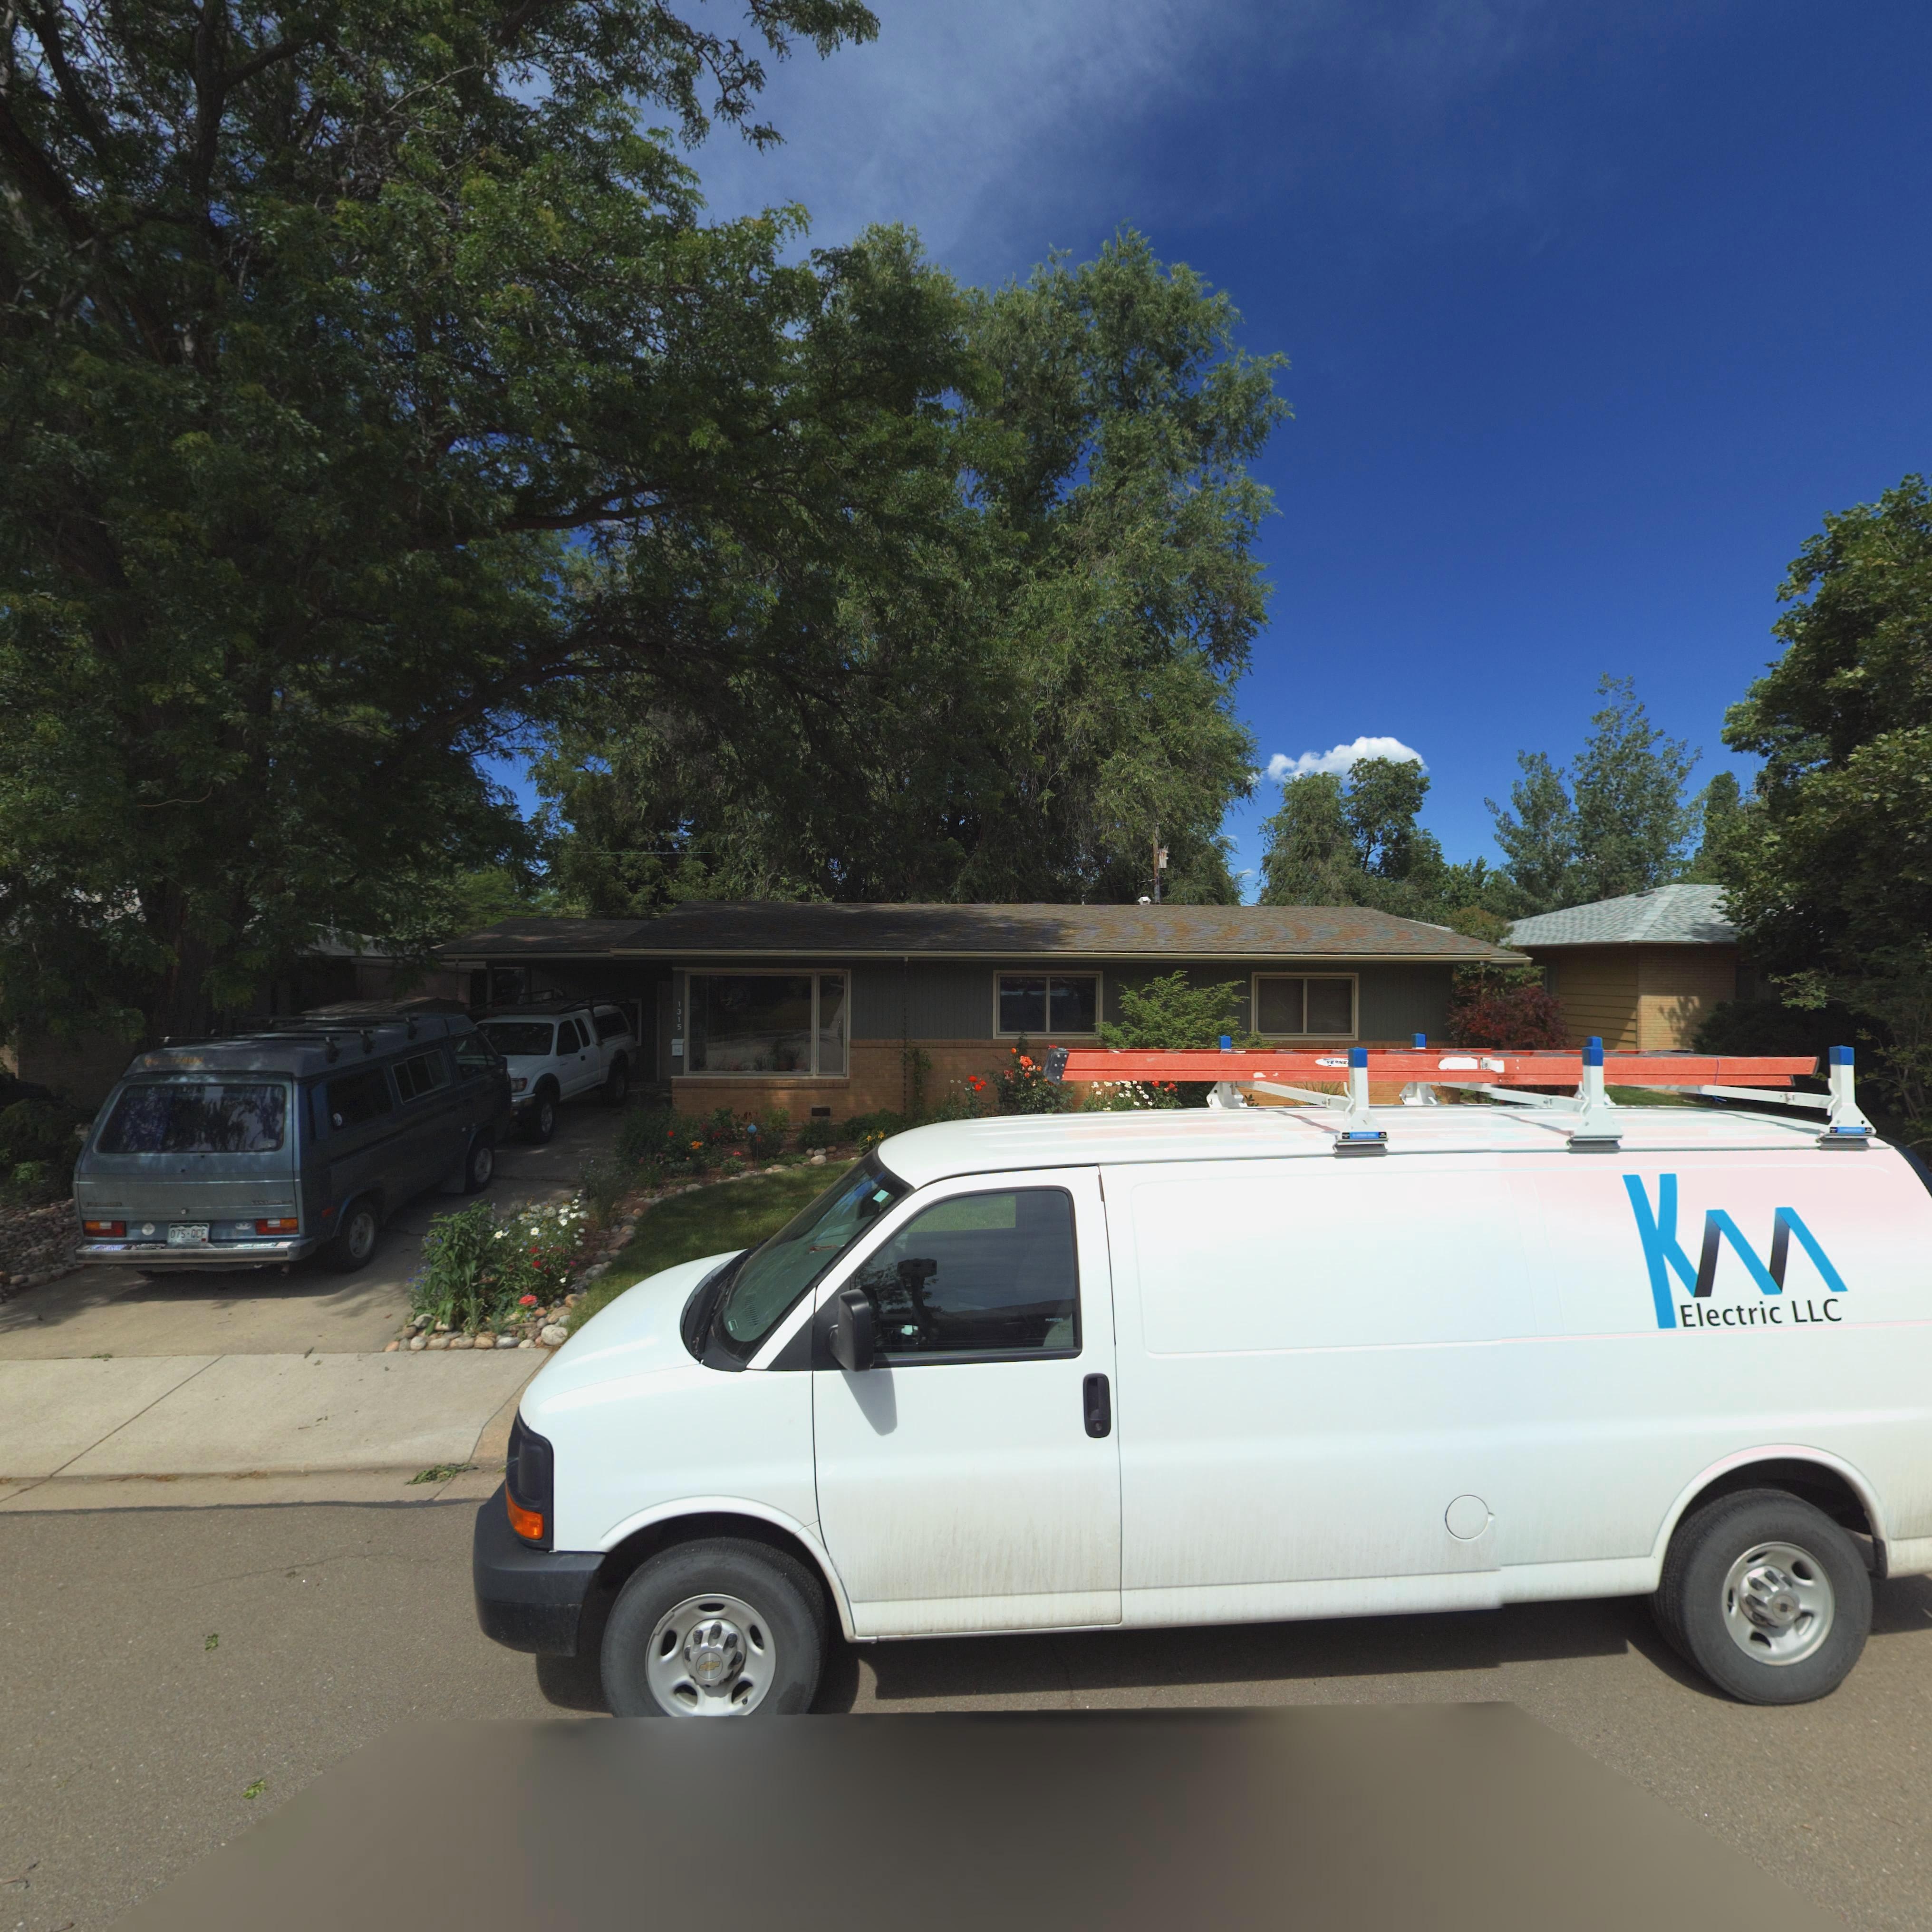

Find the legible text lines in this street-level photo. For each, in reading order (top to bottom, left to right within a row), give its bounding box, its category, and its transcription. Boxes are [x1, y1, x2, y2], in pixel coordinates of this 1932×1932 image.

[676, 1001, 681, 1030] StreetNumber: 1315